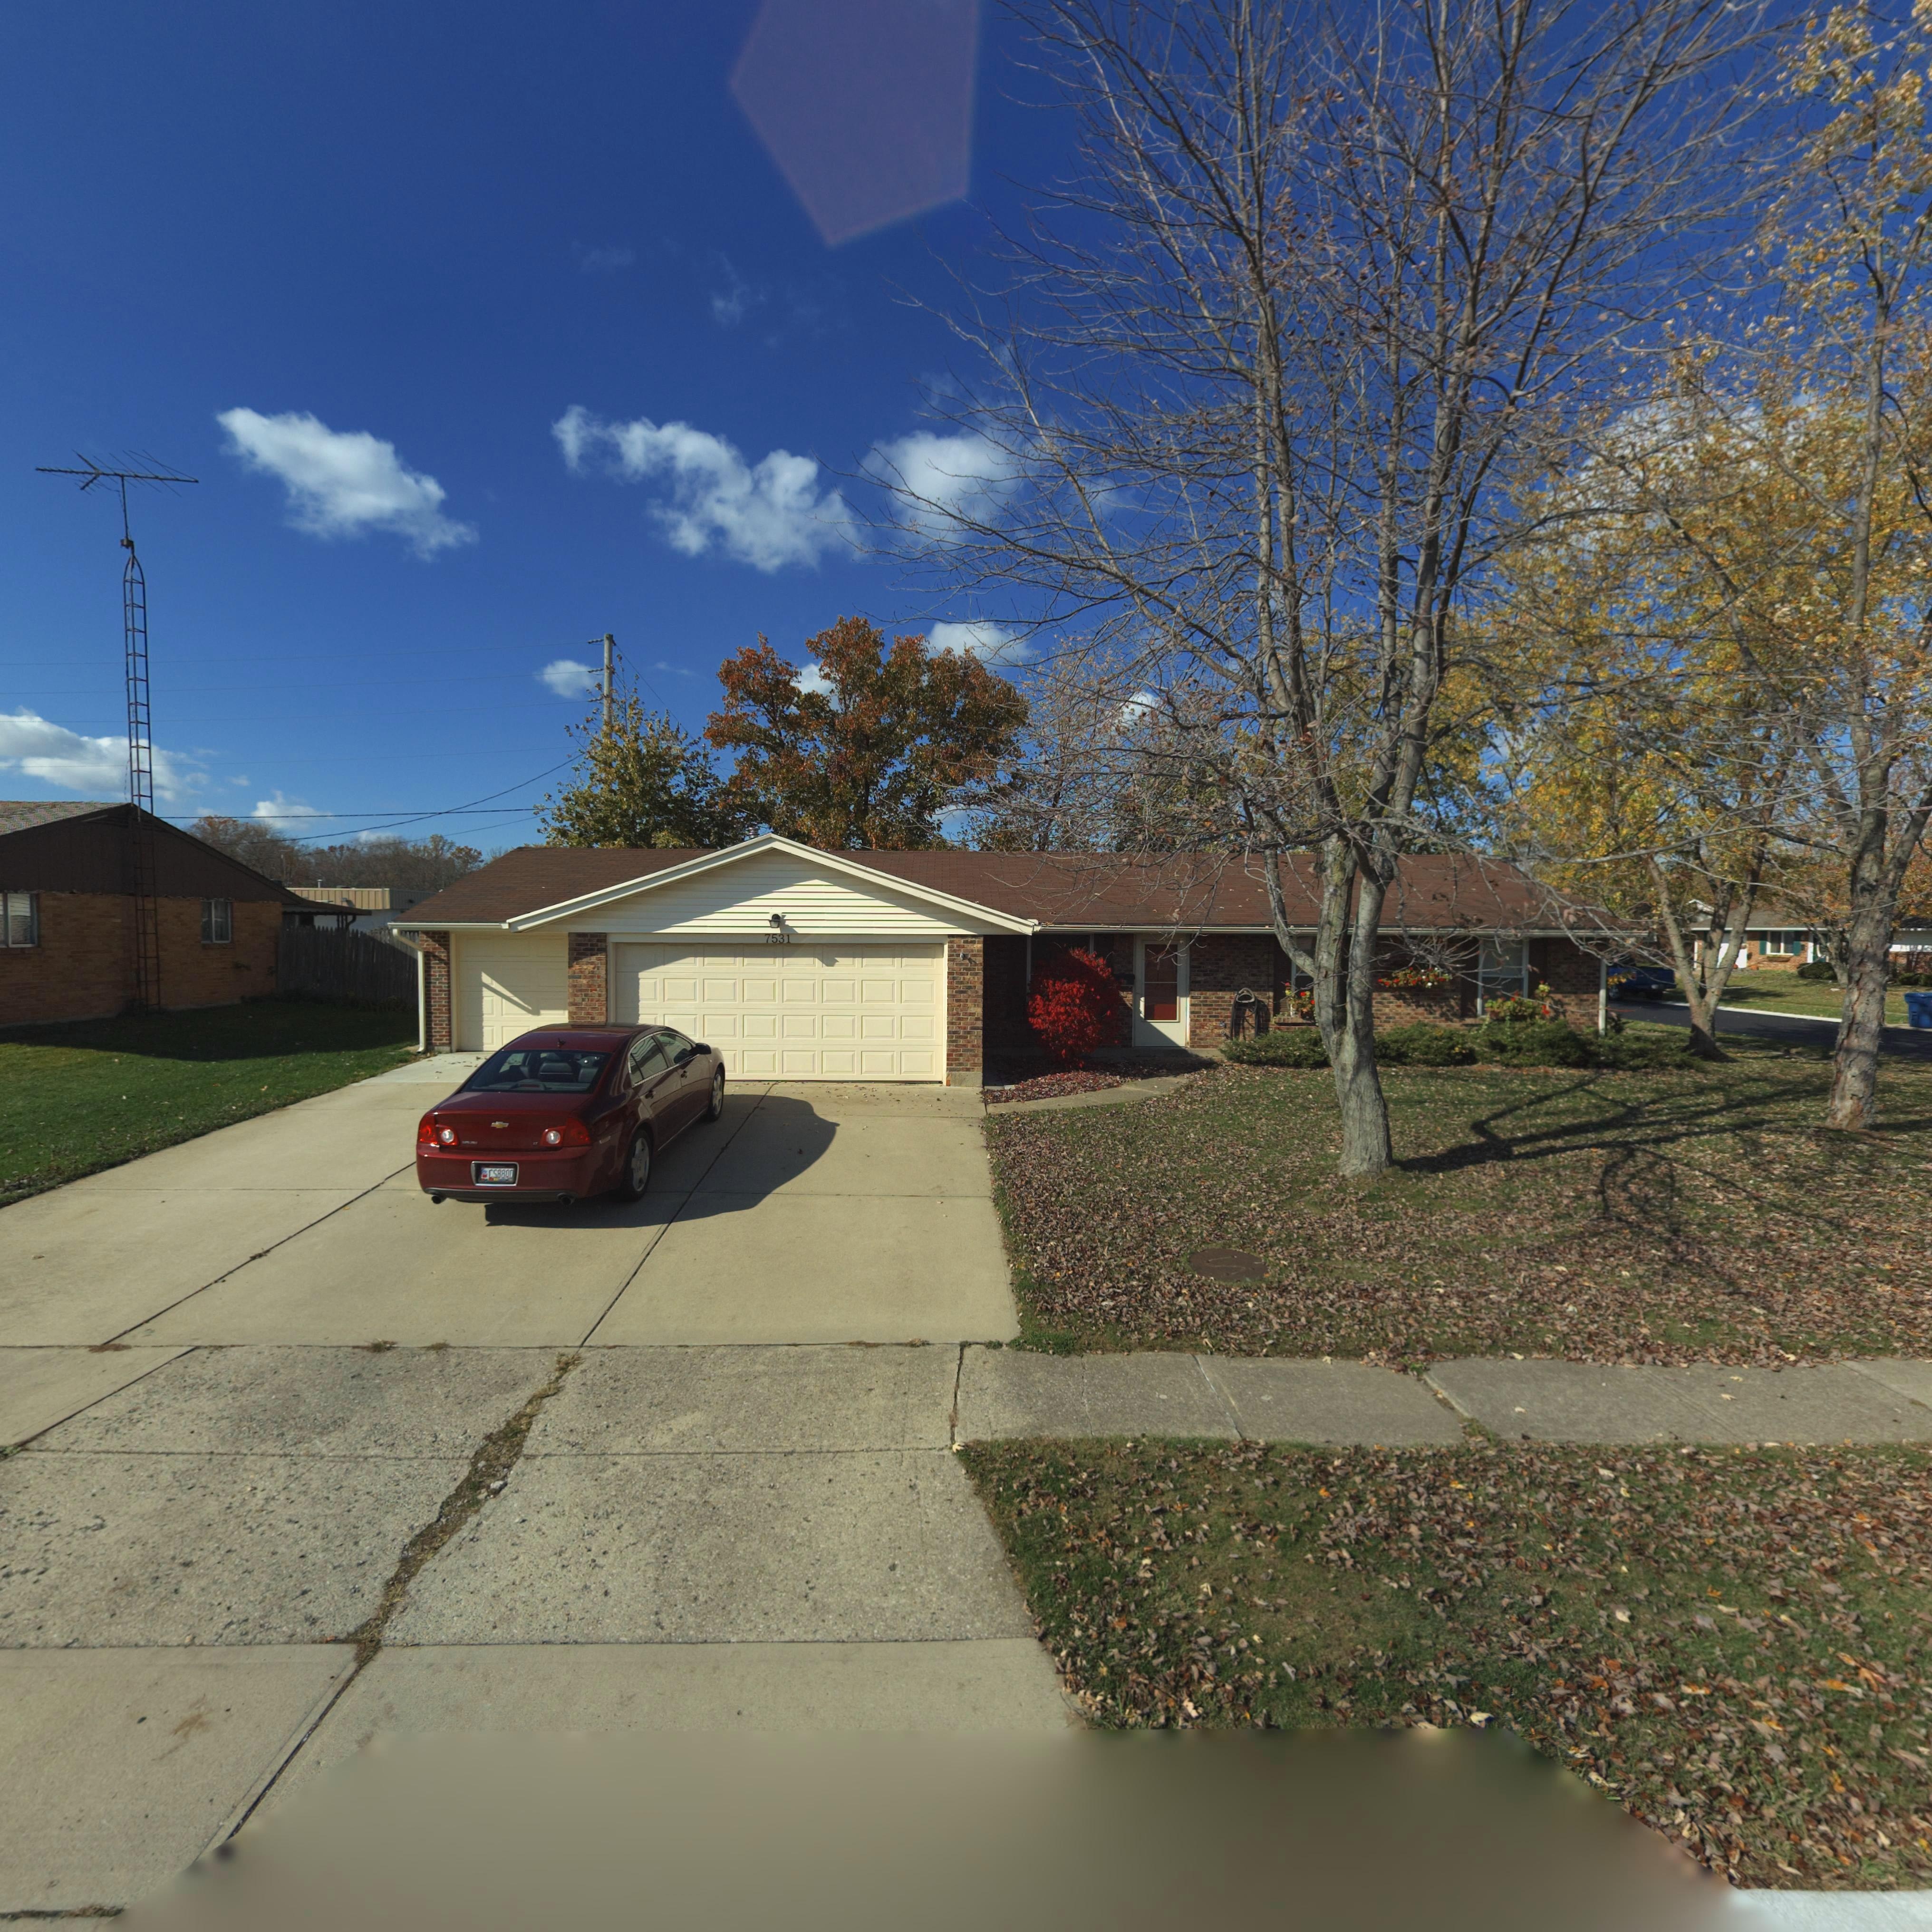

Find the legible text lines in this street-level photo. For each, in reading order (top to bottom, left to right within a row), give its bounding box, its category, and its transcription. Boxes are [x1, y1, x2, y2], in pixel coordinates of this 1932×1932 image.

[763, 933, 792, 944] StreetNumber: 7531